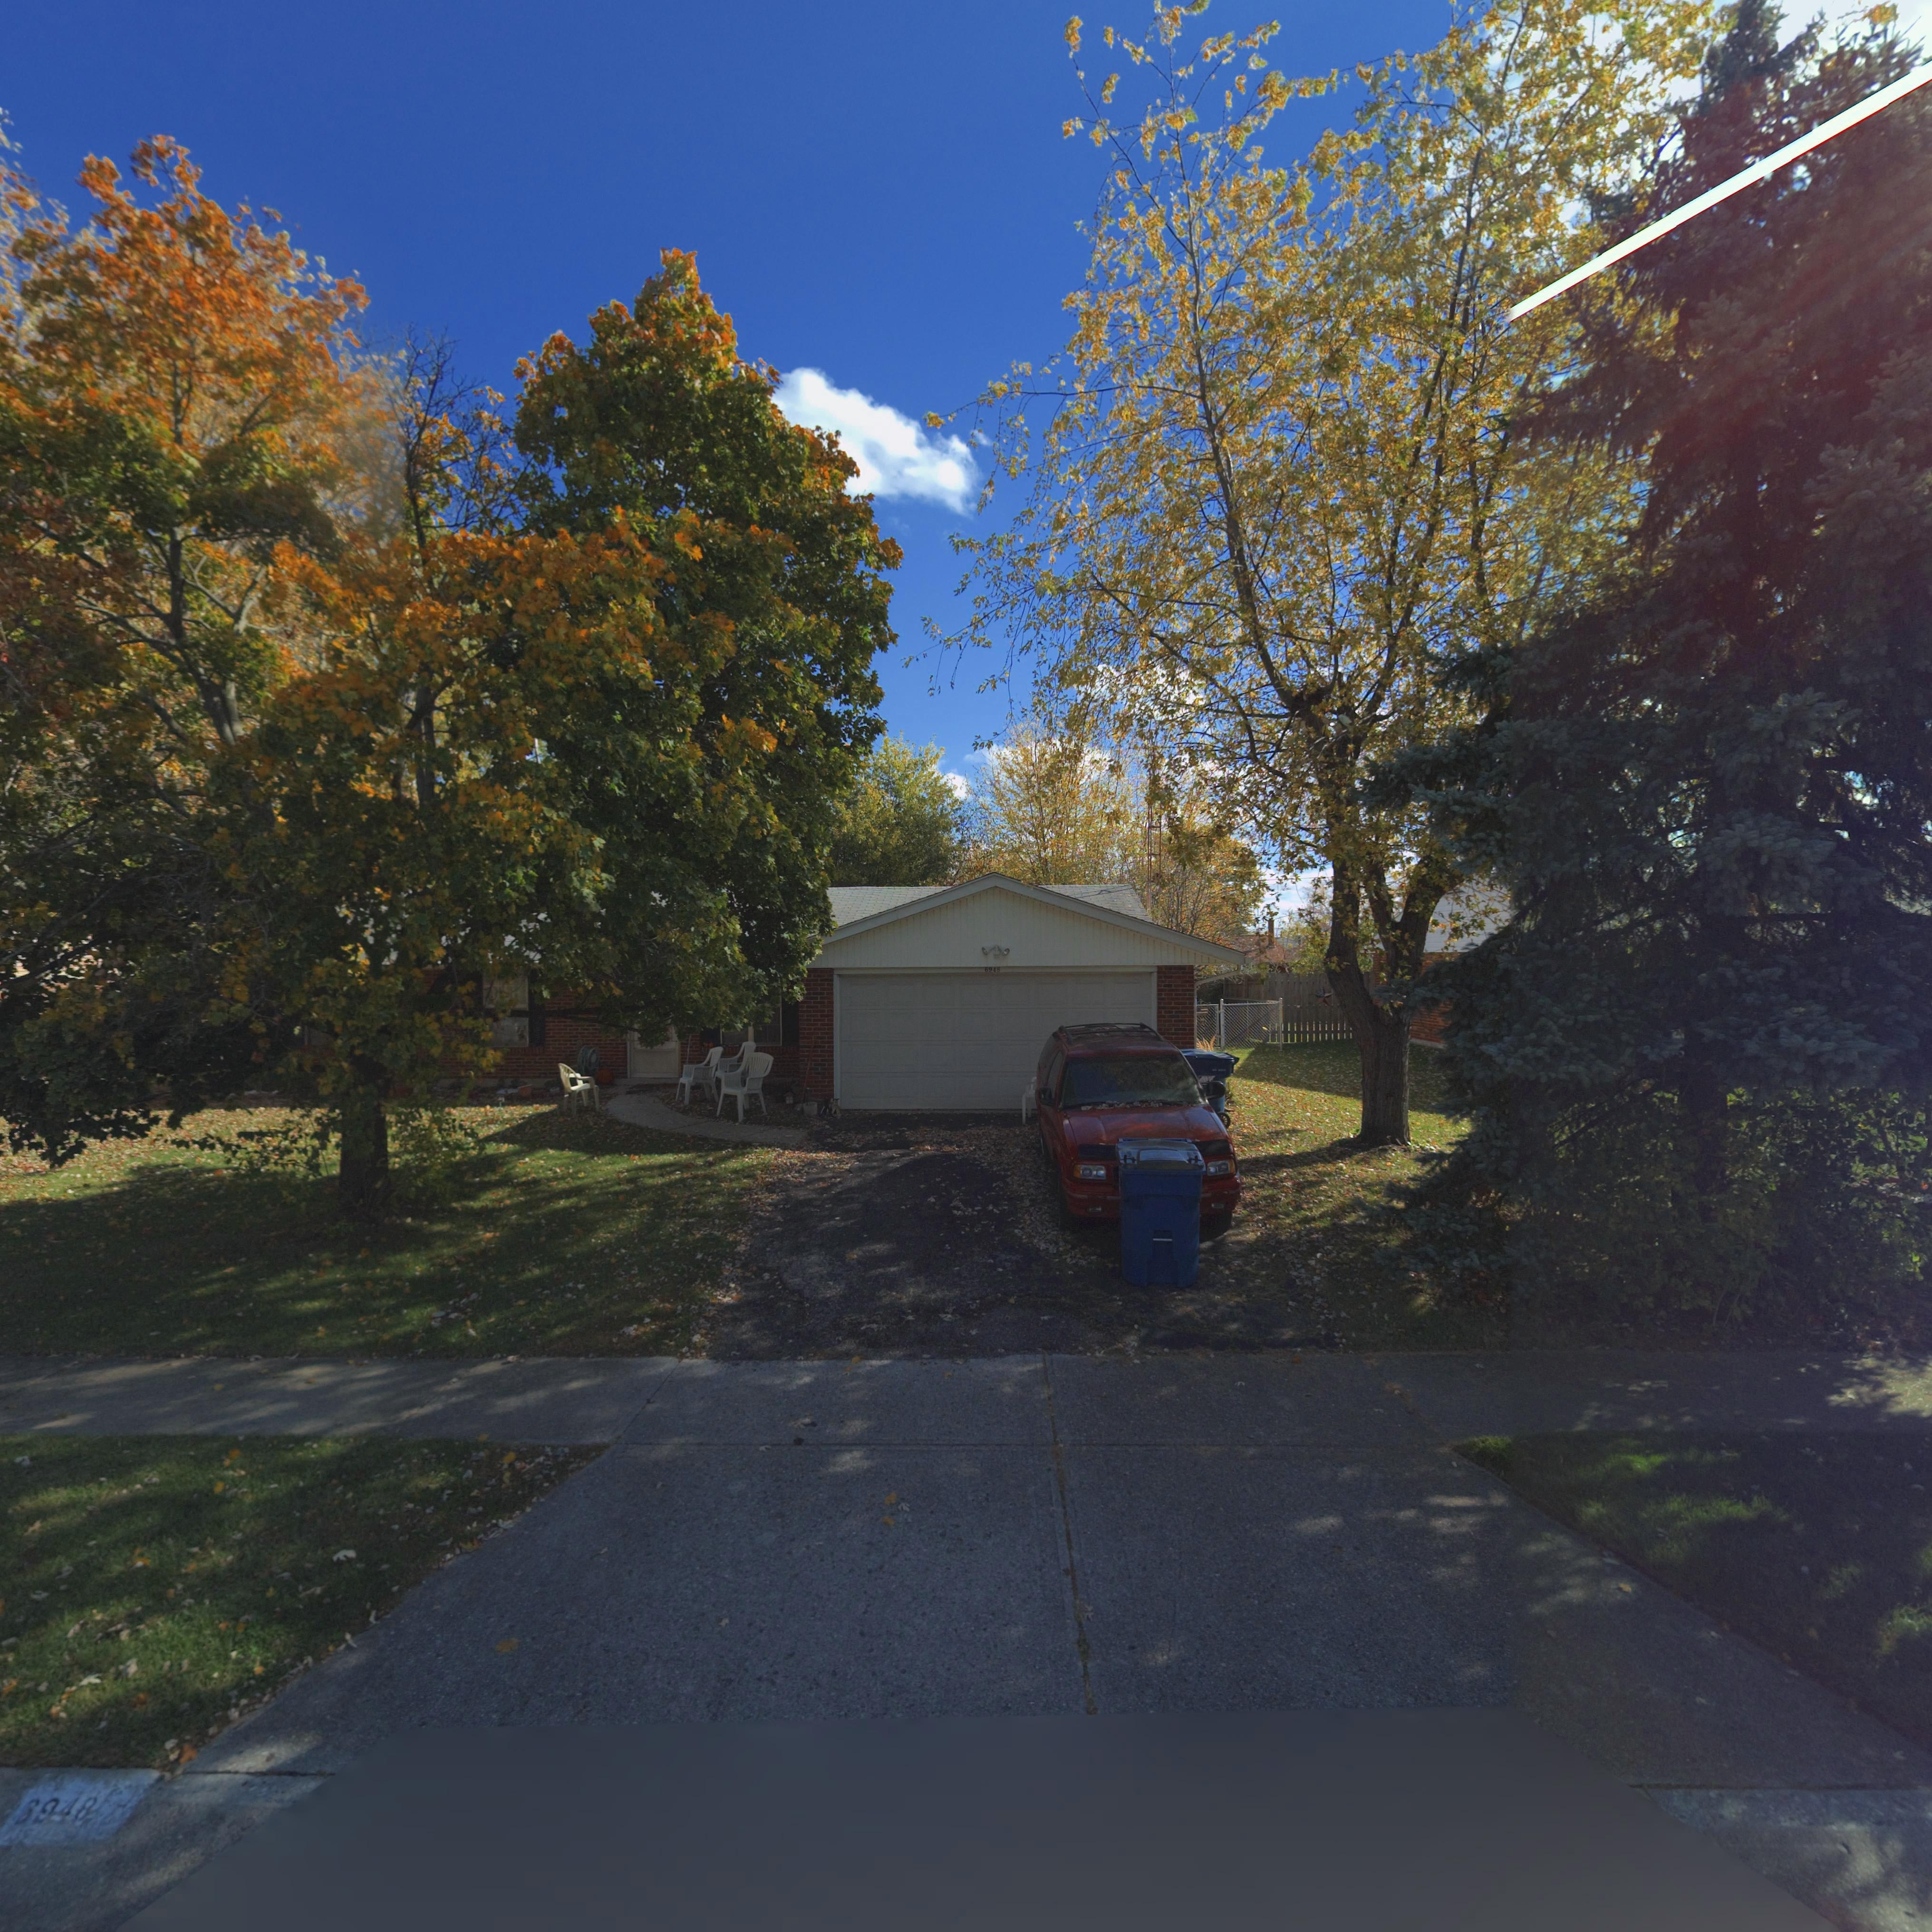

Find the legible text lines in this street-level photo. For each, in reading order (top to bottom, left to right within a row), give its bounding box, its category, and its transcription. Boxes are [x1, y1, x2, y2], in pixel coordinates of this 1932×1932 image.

[984, 966, 1002, 974] StreetNumber: 6948
[12, 1793, 102, 1828] StreetNumber: *948